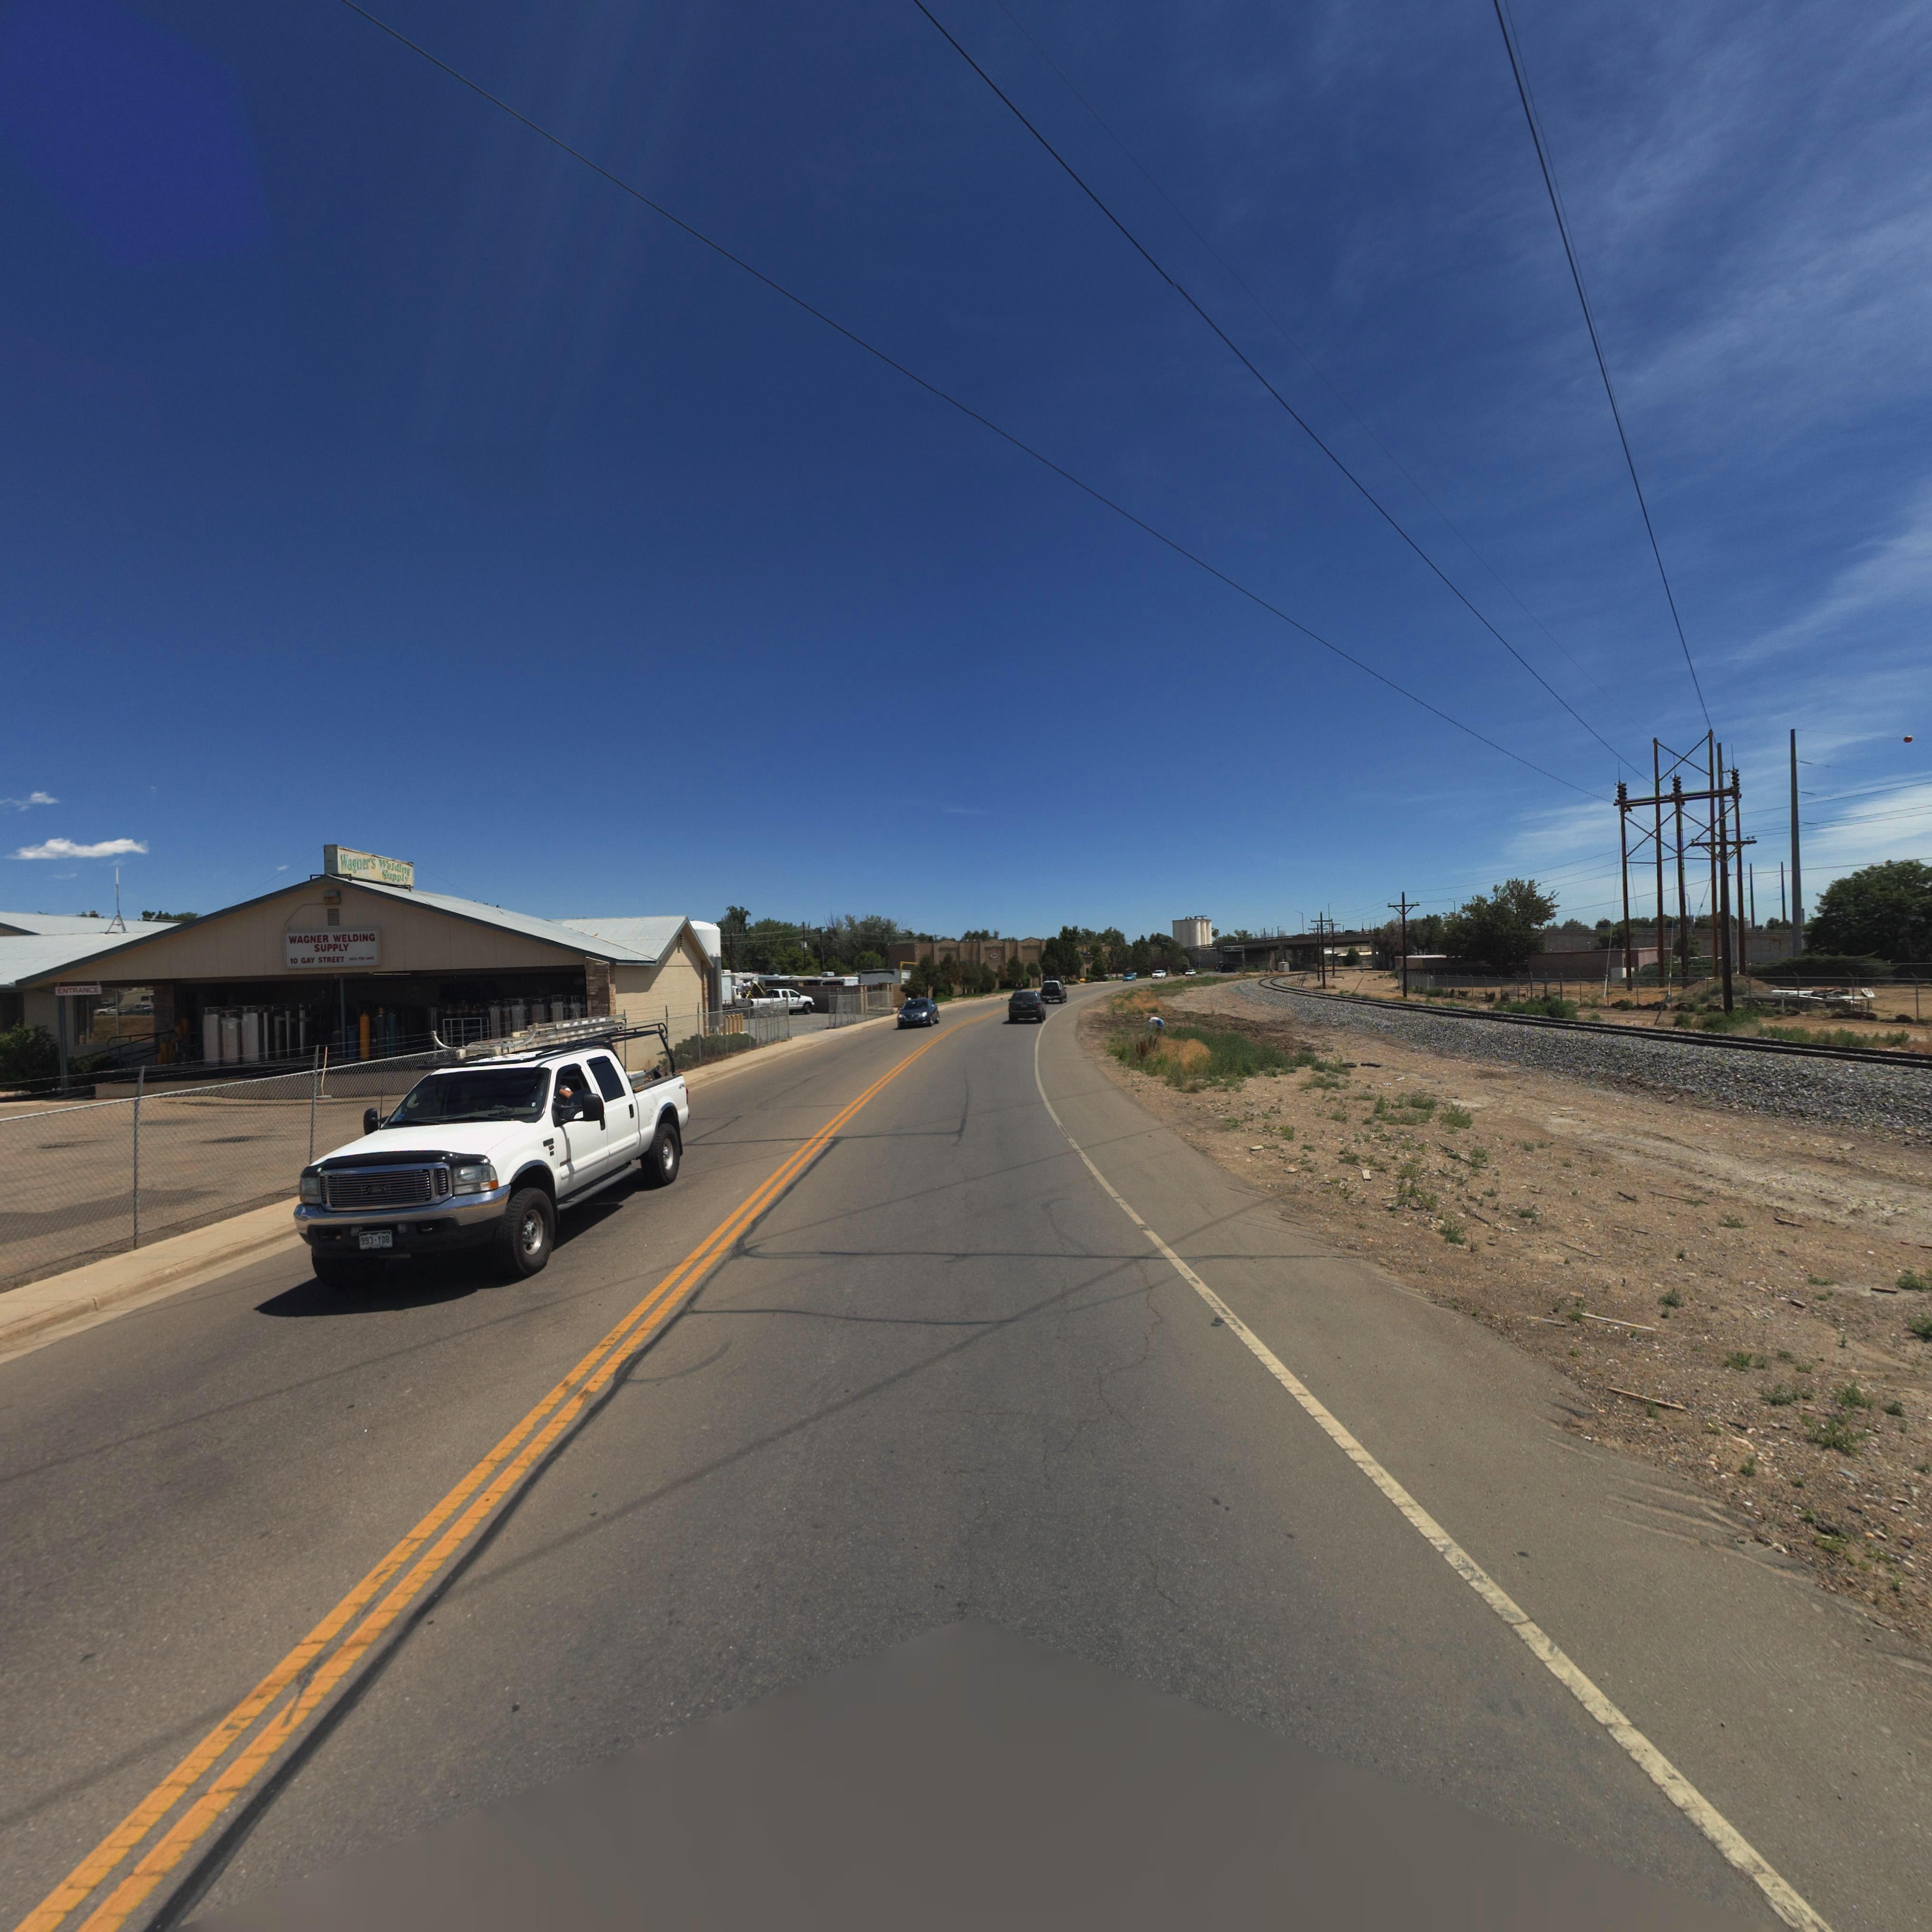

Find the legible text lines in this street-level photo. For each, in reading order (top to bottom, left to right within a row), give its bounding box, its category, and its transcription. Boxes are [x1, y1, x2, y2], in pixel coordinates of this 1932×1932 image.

[340, 854, 377, 873] BusinessName: Wagner's
[379, 859, 410, 875] BusinessName: Welding
[381, 869, 408, 882] BusinessName: Supply
[288, 933, 375, 944] BusinessName: WAGNER WELDING
[314, 943, 349, 952] BusinessName: SUPPLY
[290, 957, 297, 964] StreetNumber: 10
[301, 956, 344, 963] StreetName: GAY STREET